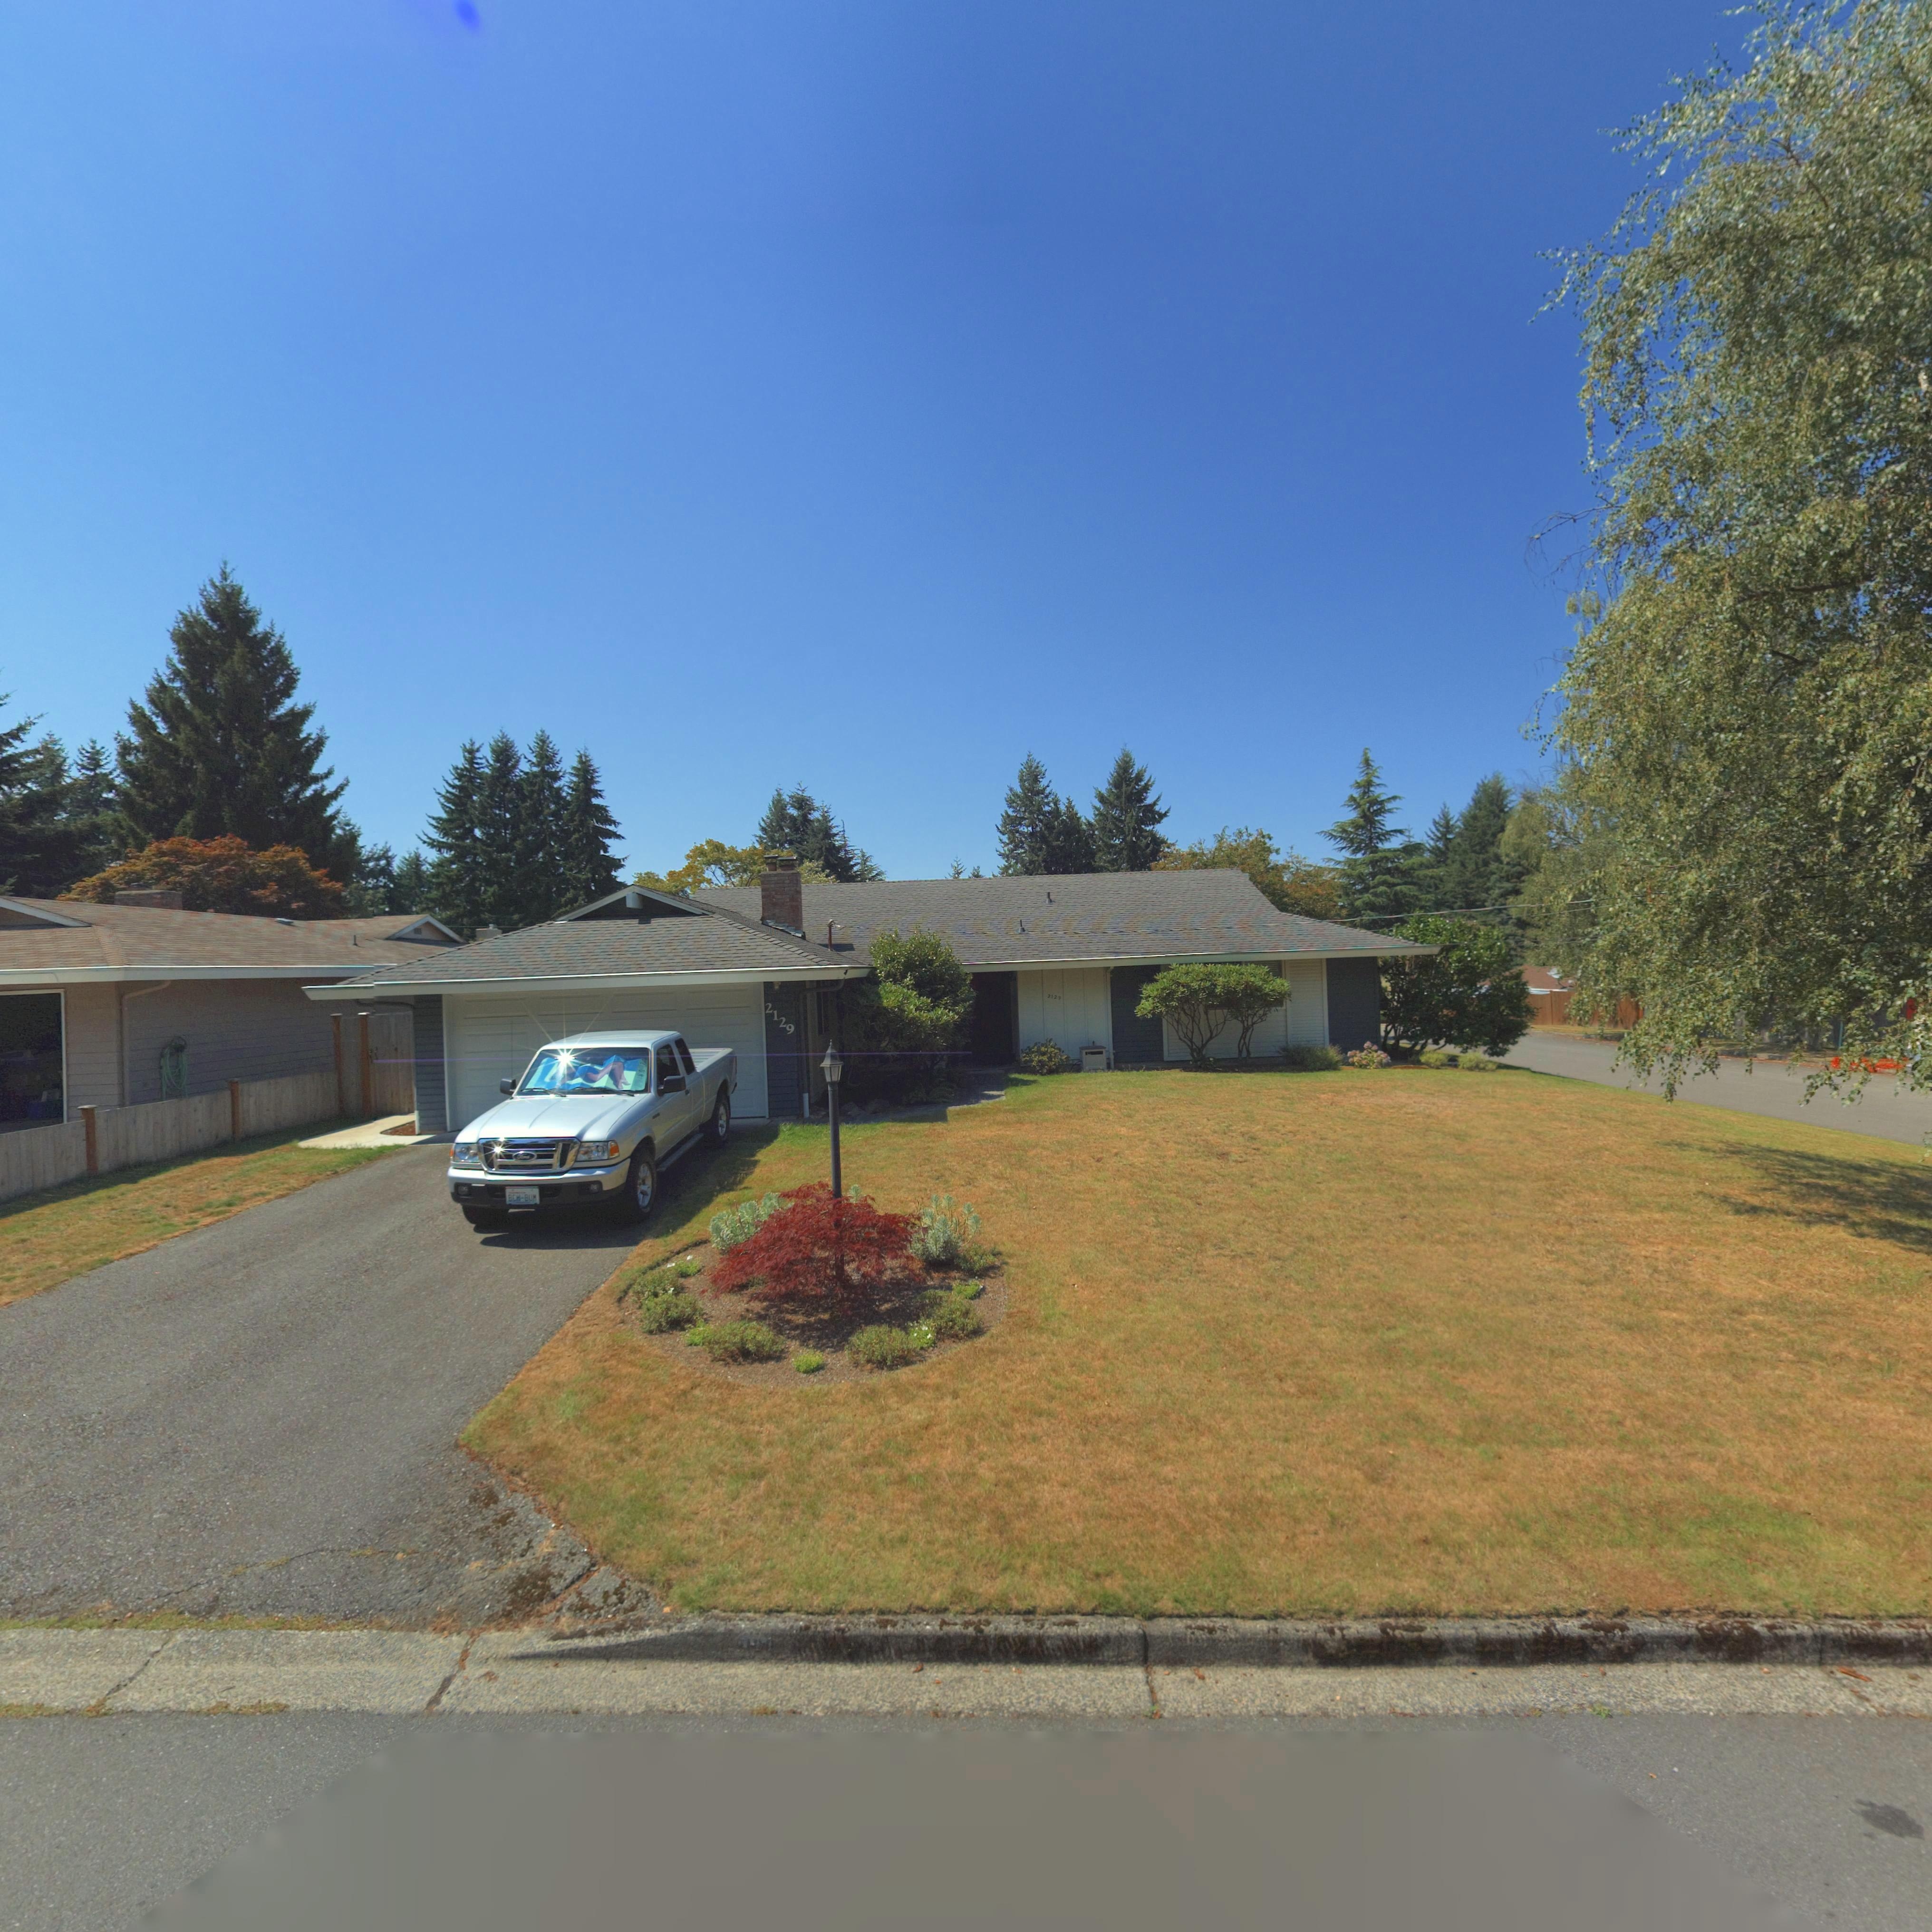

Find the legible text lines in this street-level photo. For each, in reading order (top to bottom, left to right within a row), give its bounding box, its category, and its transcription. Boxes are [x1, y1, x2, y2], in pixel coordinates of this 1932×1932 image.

[1047, 994, 1061, 1000] StreetNumber: 2129
[765, 1002, 796, 1035] StreetNumber: 2129